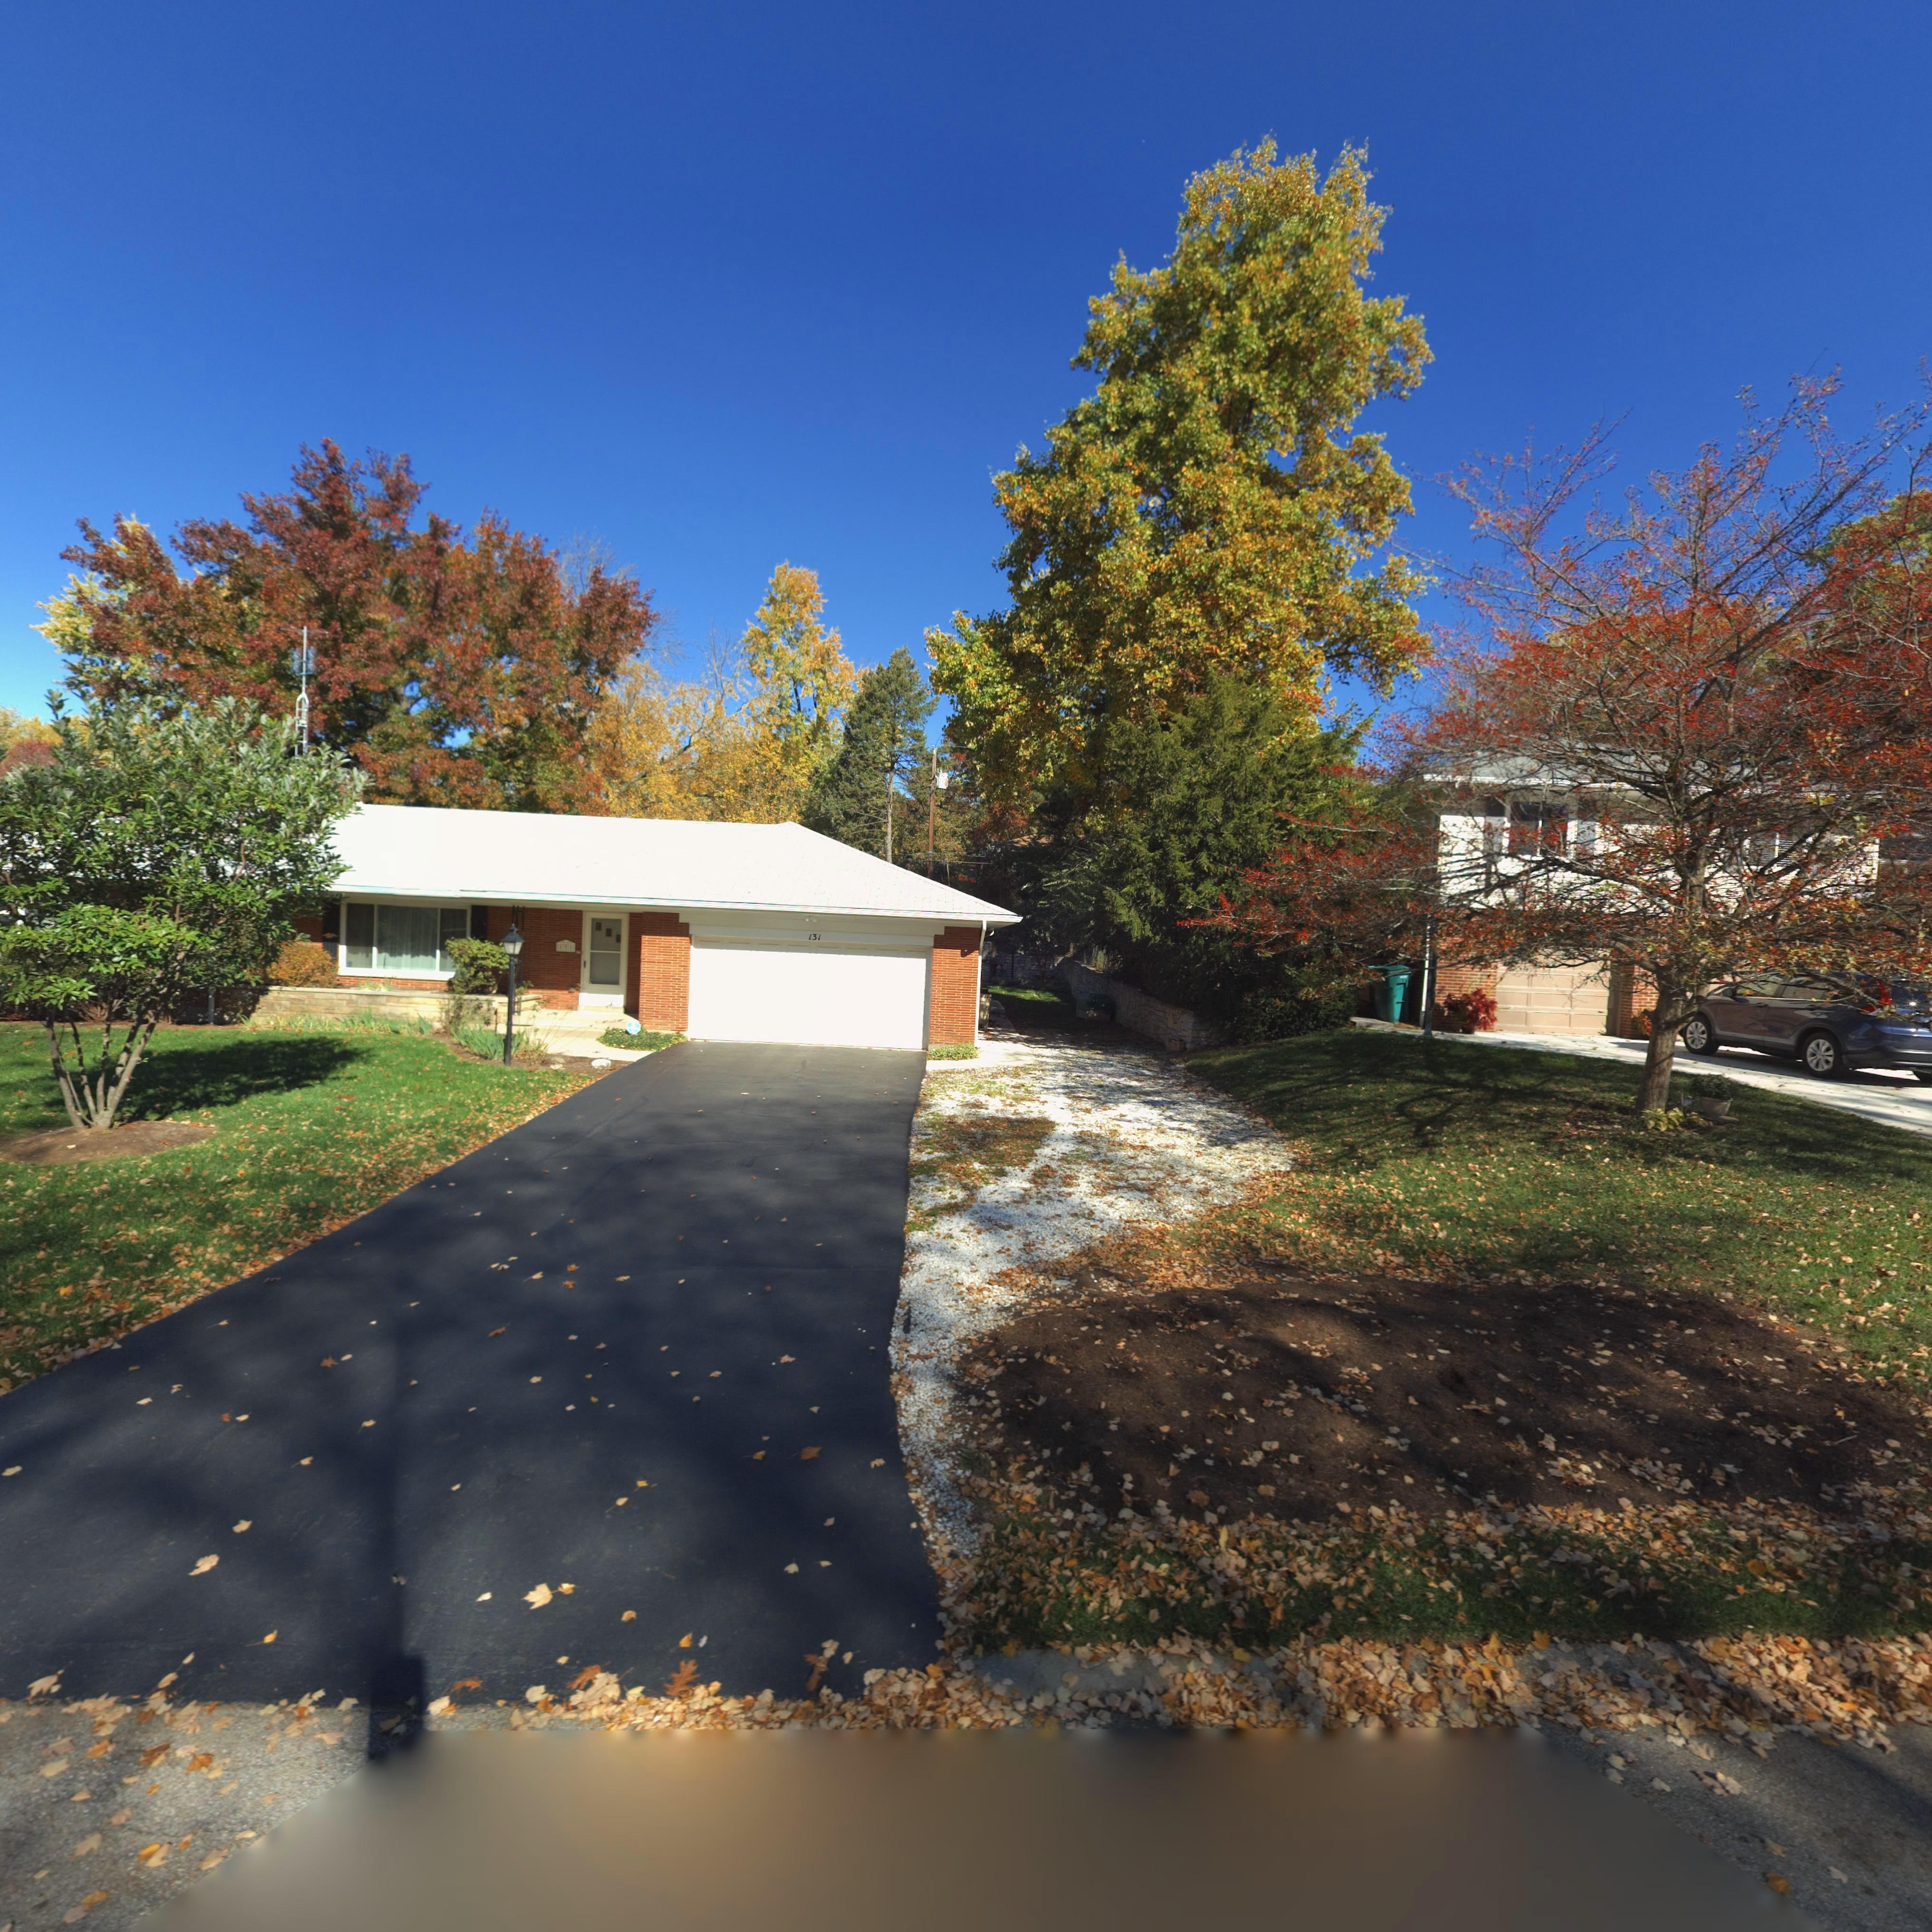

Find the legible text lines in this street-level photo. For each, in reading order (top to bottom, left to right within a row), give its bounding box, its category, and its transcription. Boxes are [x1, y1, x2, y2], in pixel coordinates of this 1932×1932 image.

[807, 933, 821, 940] StreetNumber: 131
[557, 944, 573, 950] StreetNumber: 131